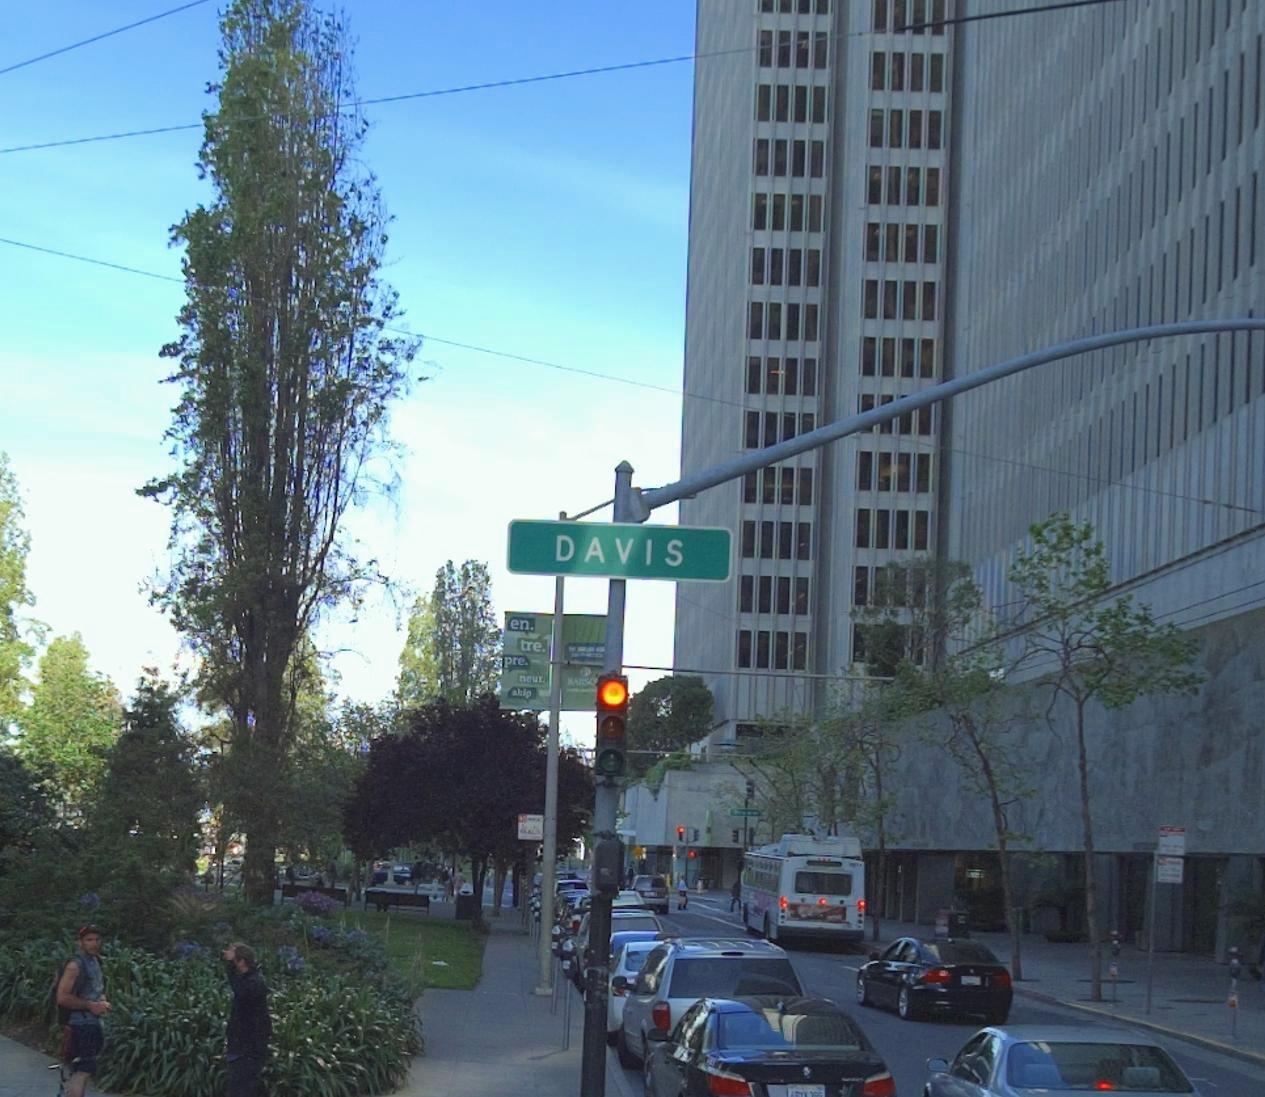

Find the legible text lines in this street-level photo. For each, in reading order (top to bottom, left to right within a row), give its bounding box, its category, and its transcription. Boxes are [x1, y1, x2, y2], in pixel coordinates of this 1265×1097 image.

[553, 532, 687, 570] StreetName: DAVIS
[508, 616, 531, 633] None: en
[518, 637, 548, 654] None: tre.
[502, 654, 531, 672] None: pre.
[517, 674, 548, 685] None: nour.
[509, 686, 535, 702] None: *hip